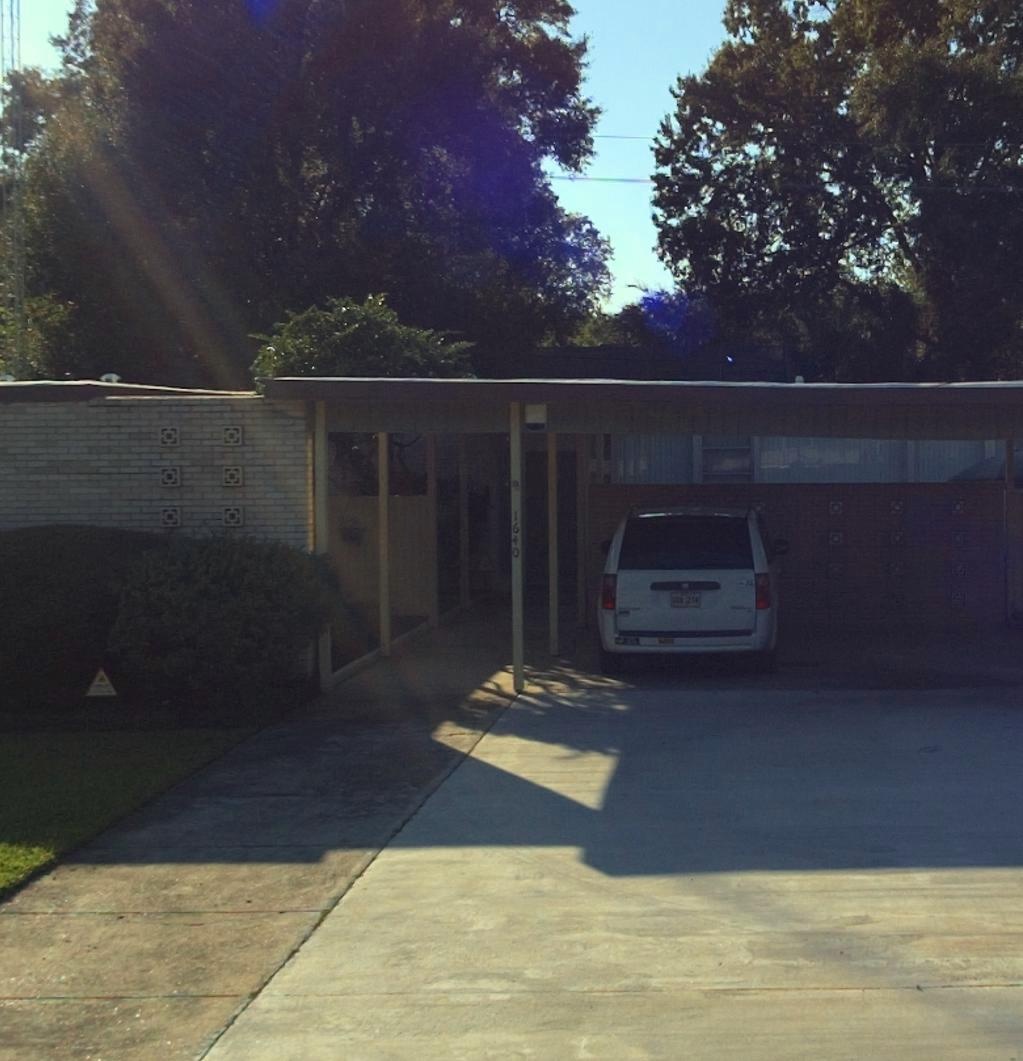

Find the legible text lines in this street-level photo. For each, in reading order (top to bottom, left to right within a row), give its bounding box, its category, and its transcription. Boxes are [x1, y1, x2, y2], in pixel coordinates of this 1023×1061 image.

[511, 509, 520, 559] StreetNumber: 1640